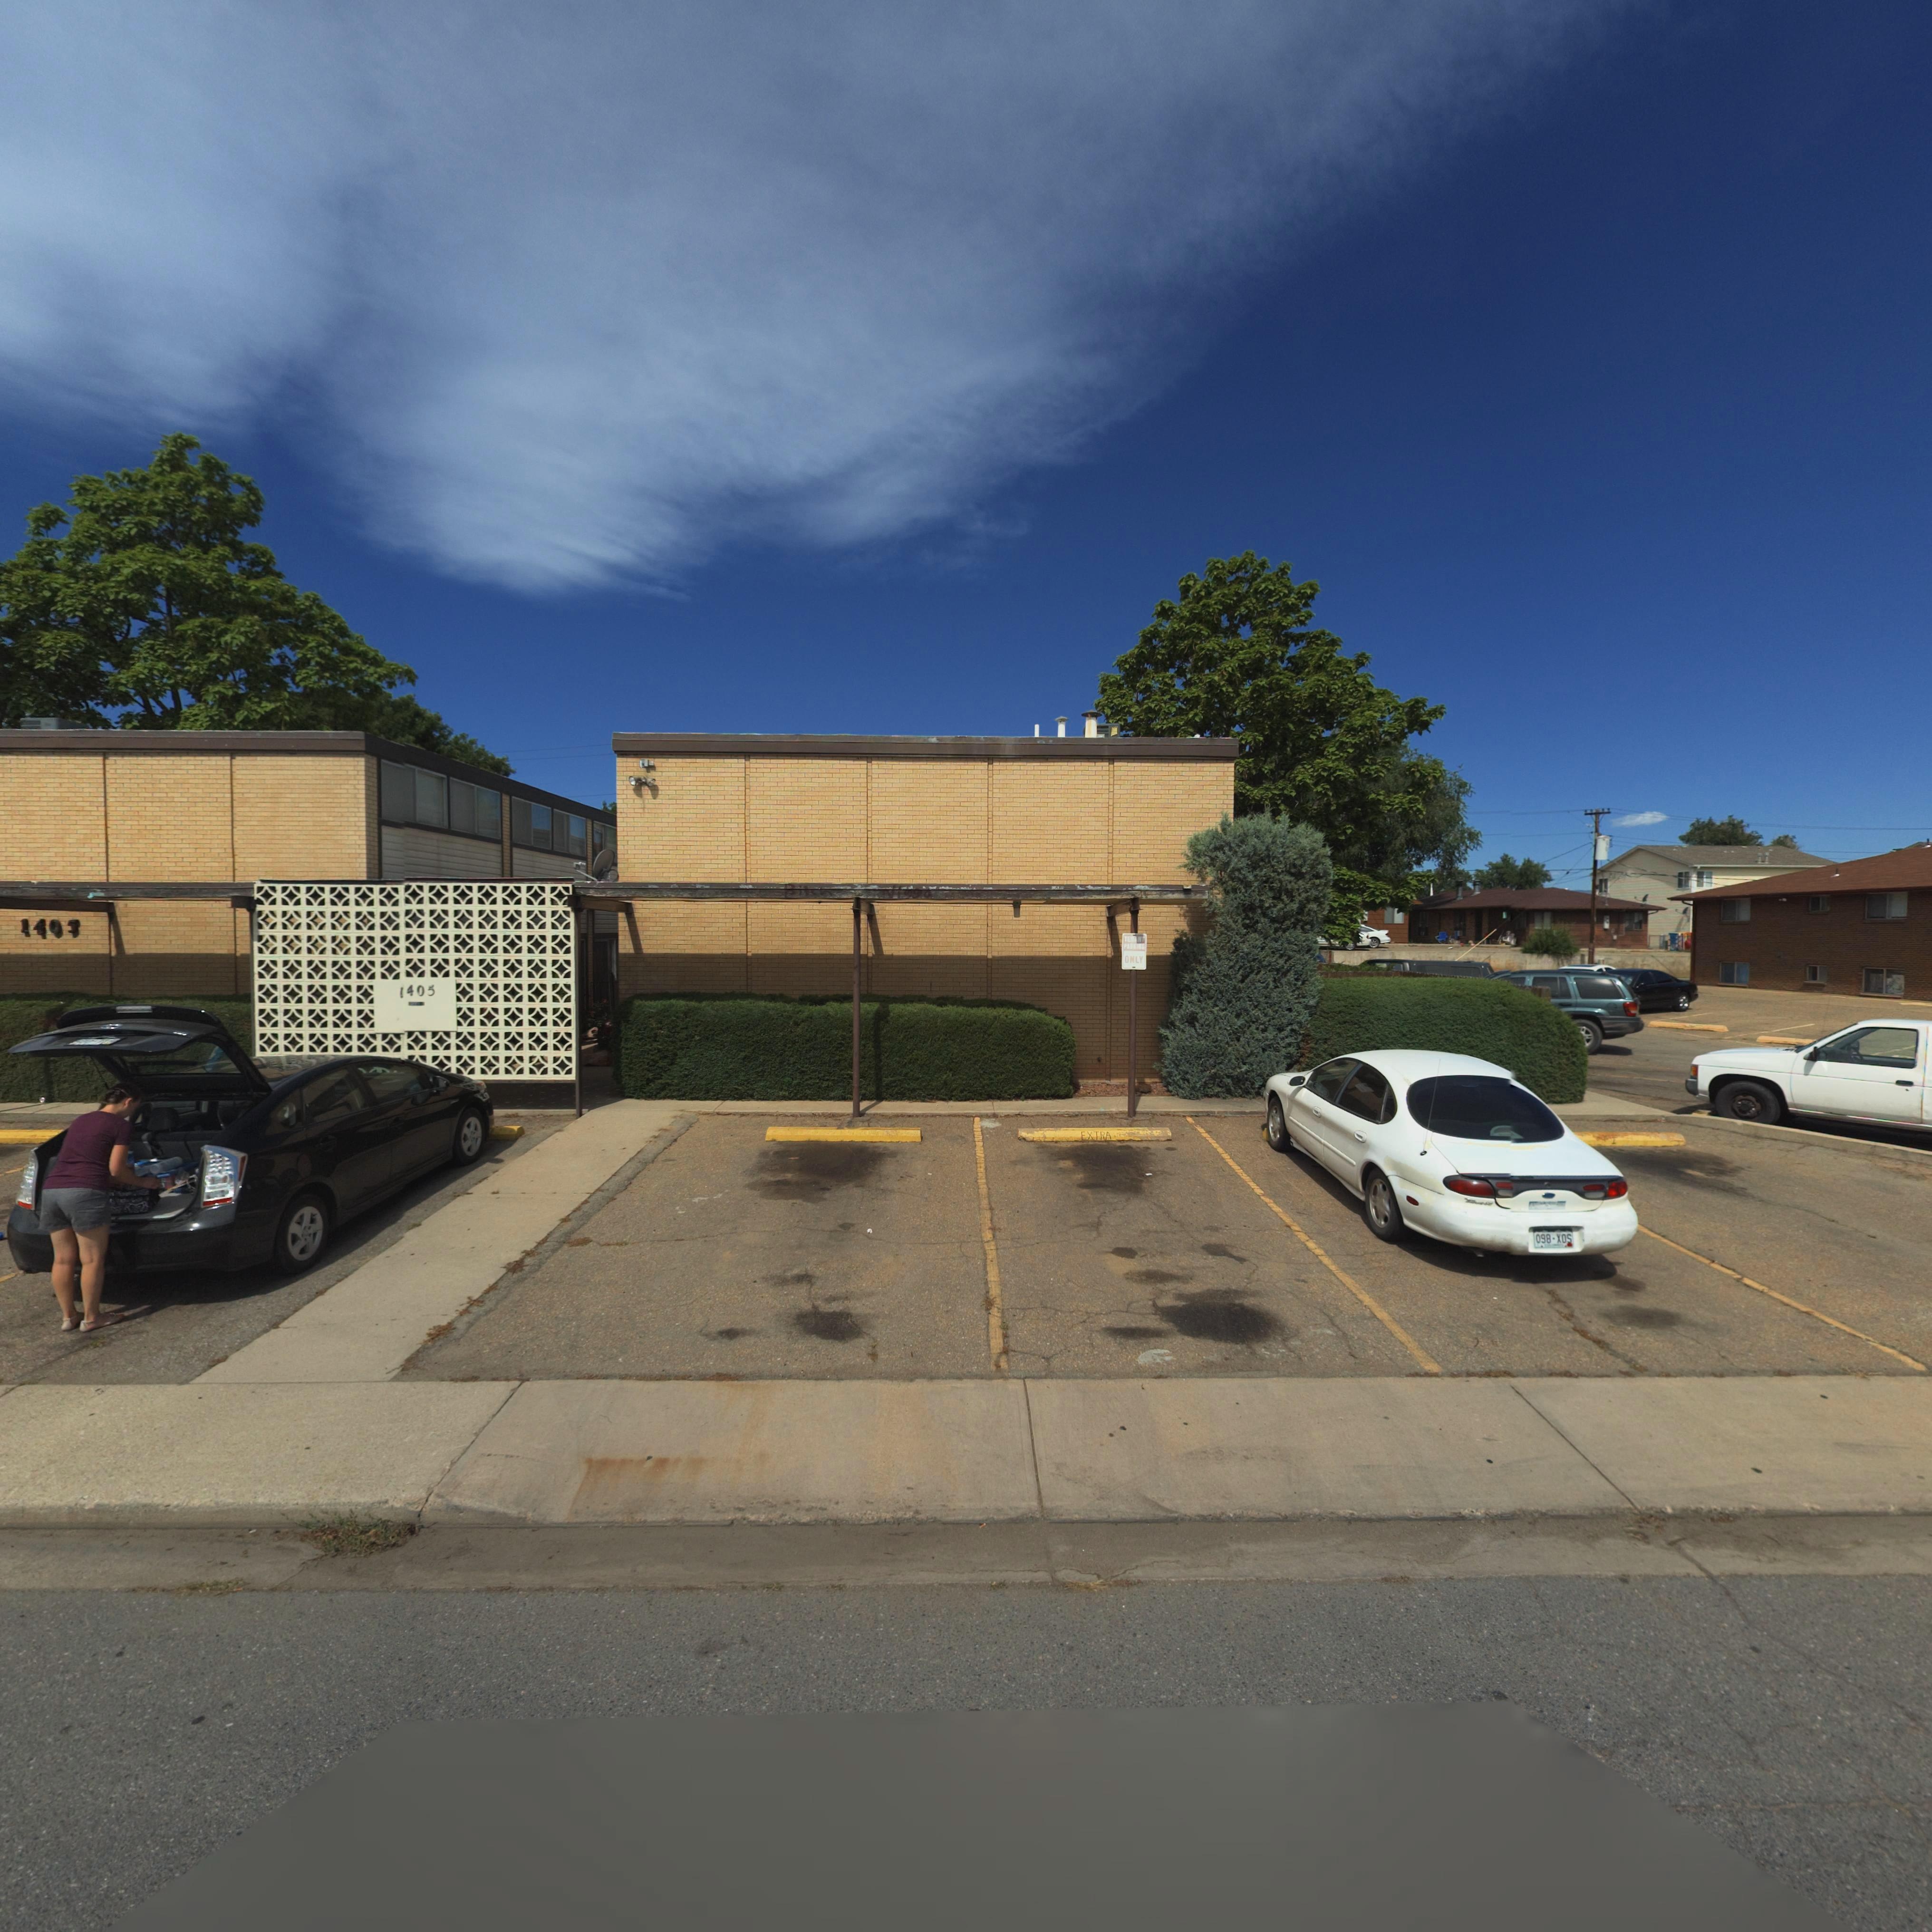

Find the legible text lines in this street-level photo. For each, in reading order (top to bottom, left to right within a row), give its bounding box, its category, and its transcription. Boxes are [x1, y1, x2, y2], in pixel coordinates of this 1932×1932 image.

[19, 918, 79, 934] StreetNumber: 1405
[399, 984, 435, 999] StreetNumber: 1405